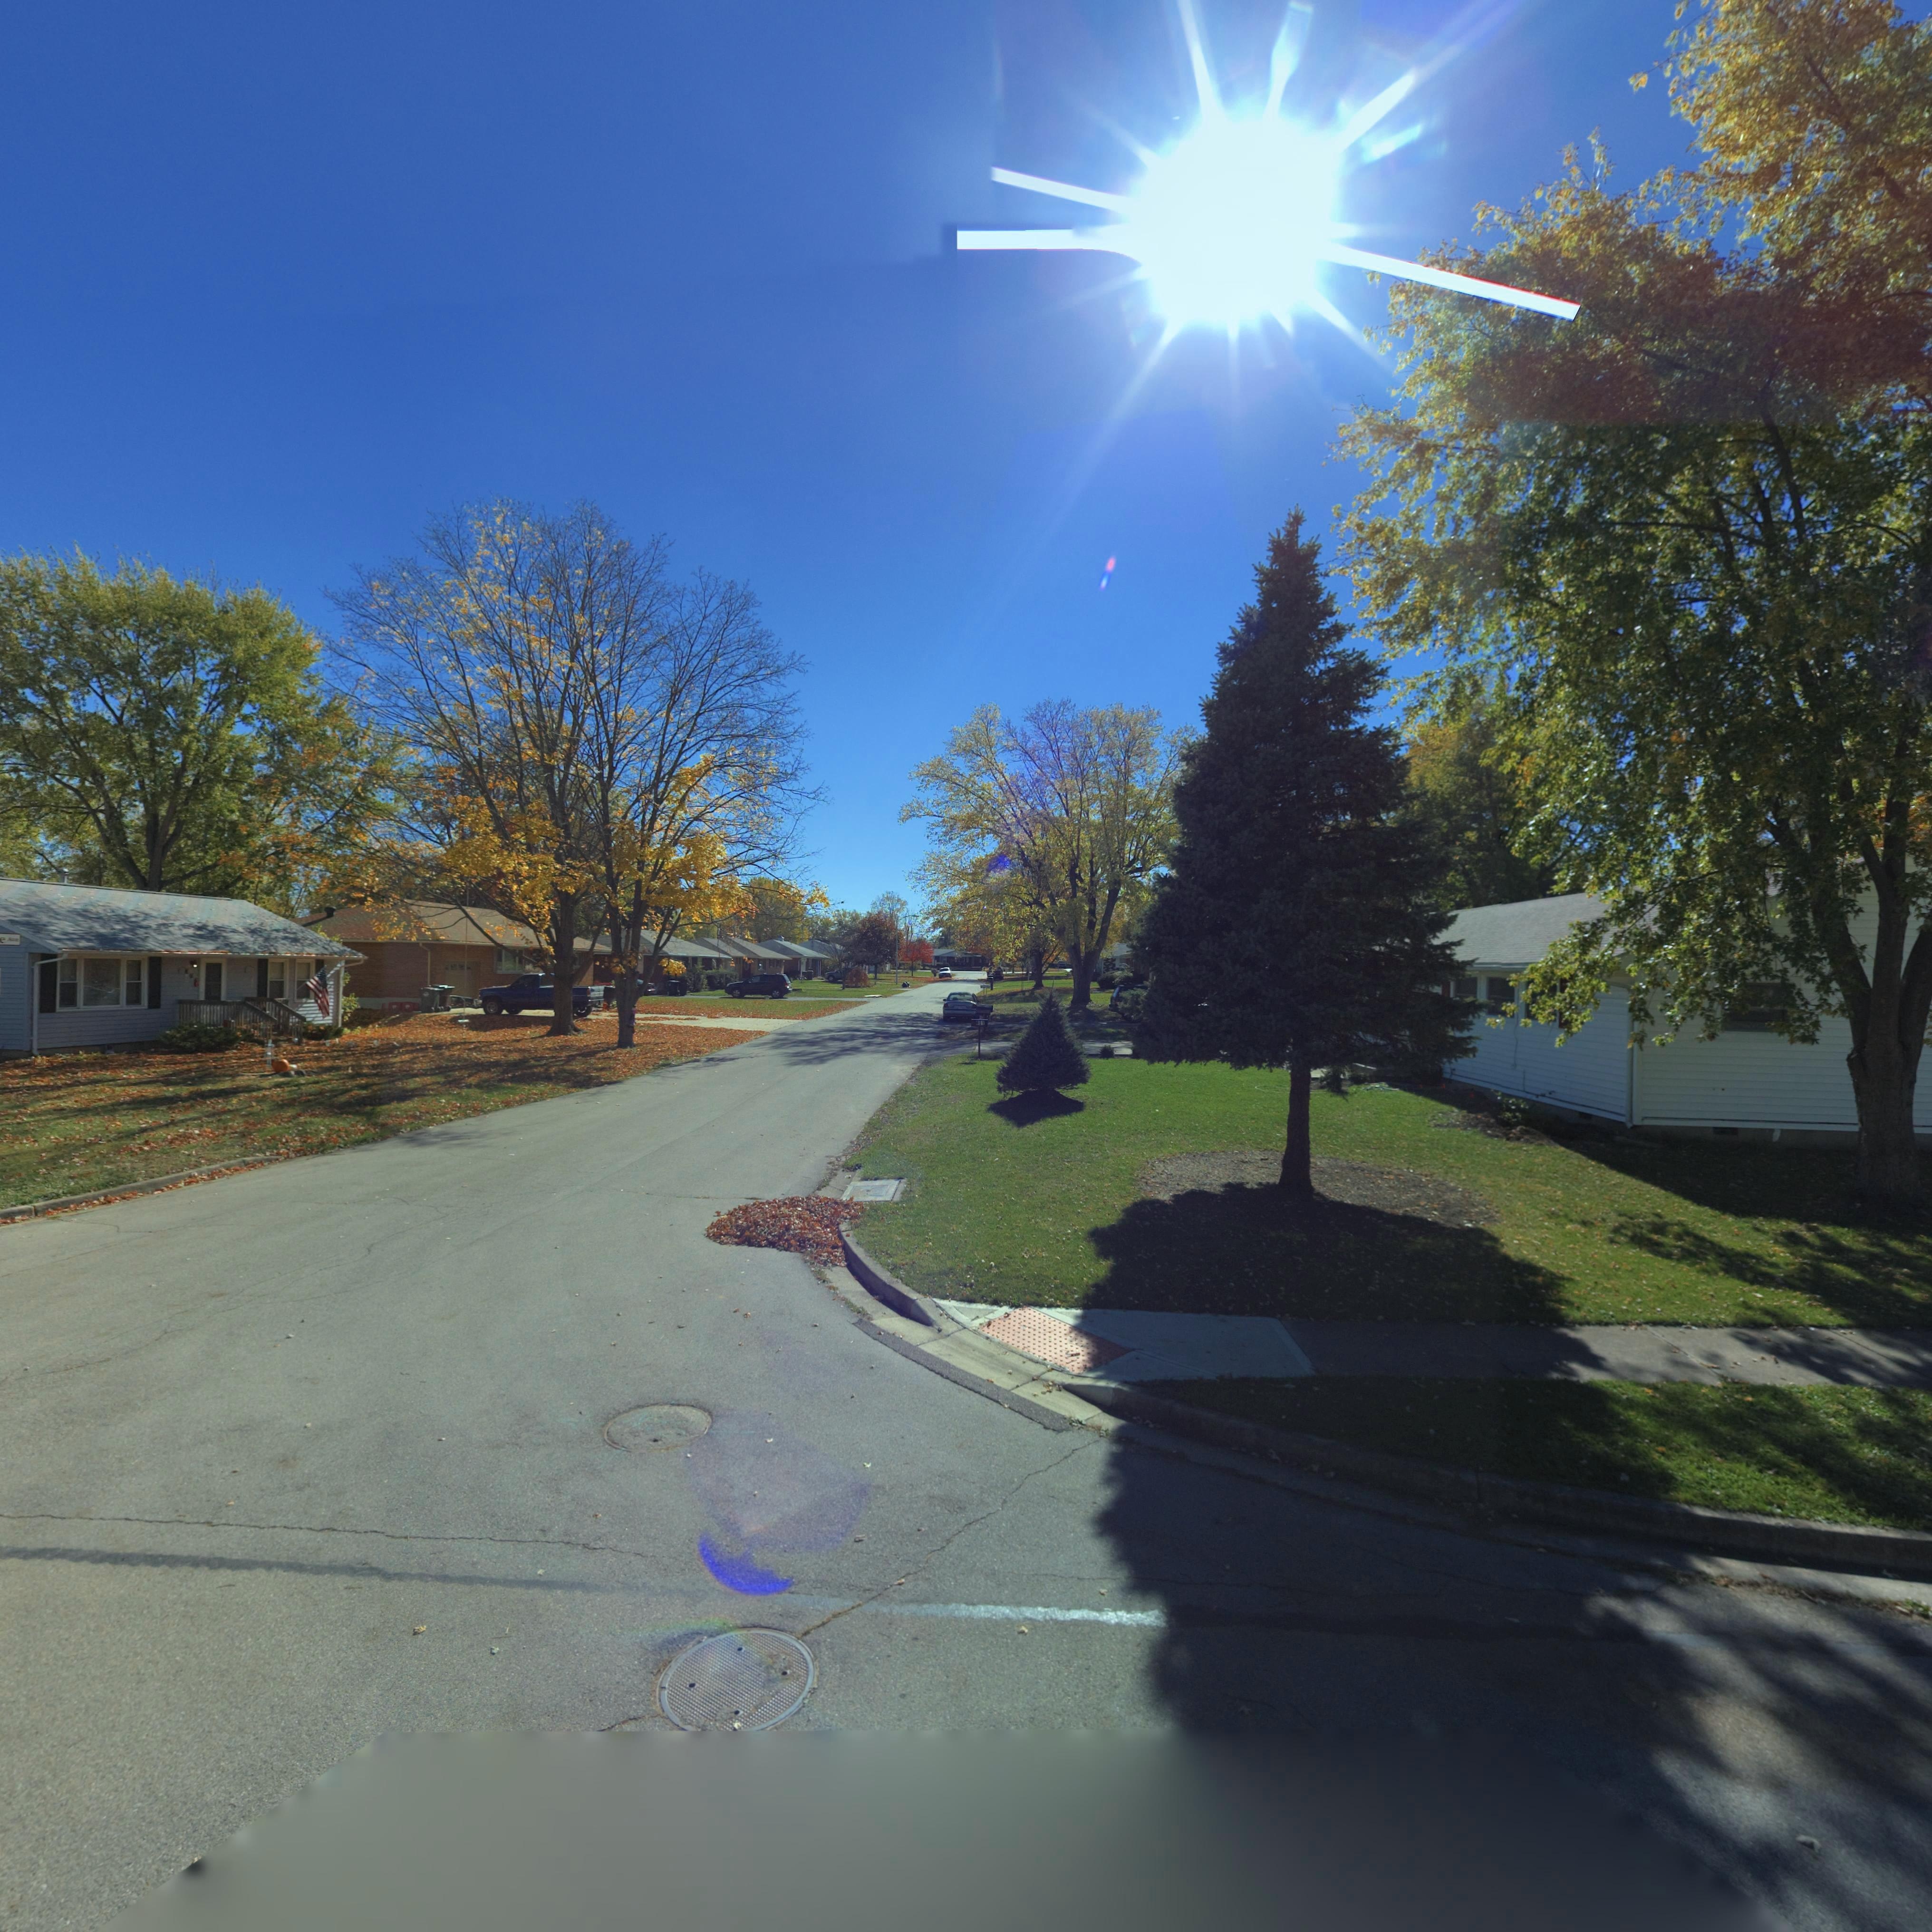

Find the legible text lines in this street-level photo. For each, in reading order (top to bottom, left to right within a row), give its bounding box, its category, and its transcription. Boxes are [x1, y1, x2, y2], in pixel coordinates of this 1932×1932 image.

[976, 1020, 984, 1025] StreetNumber: 401